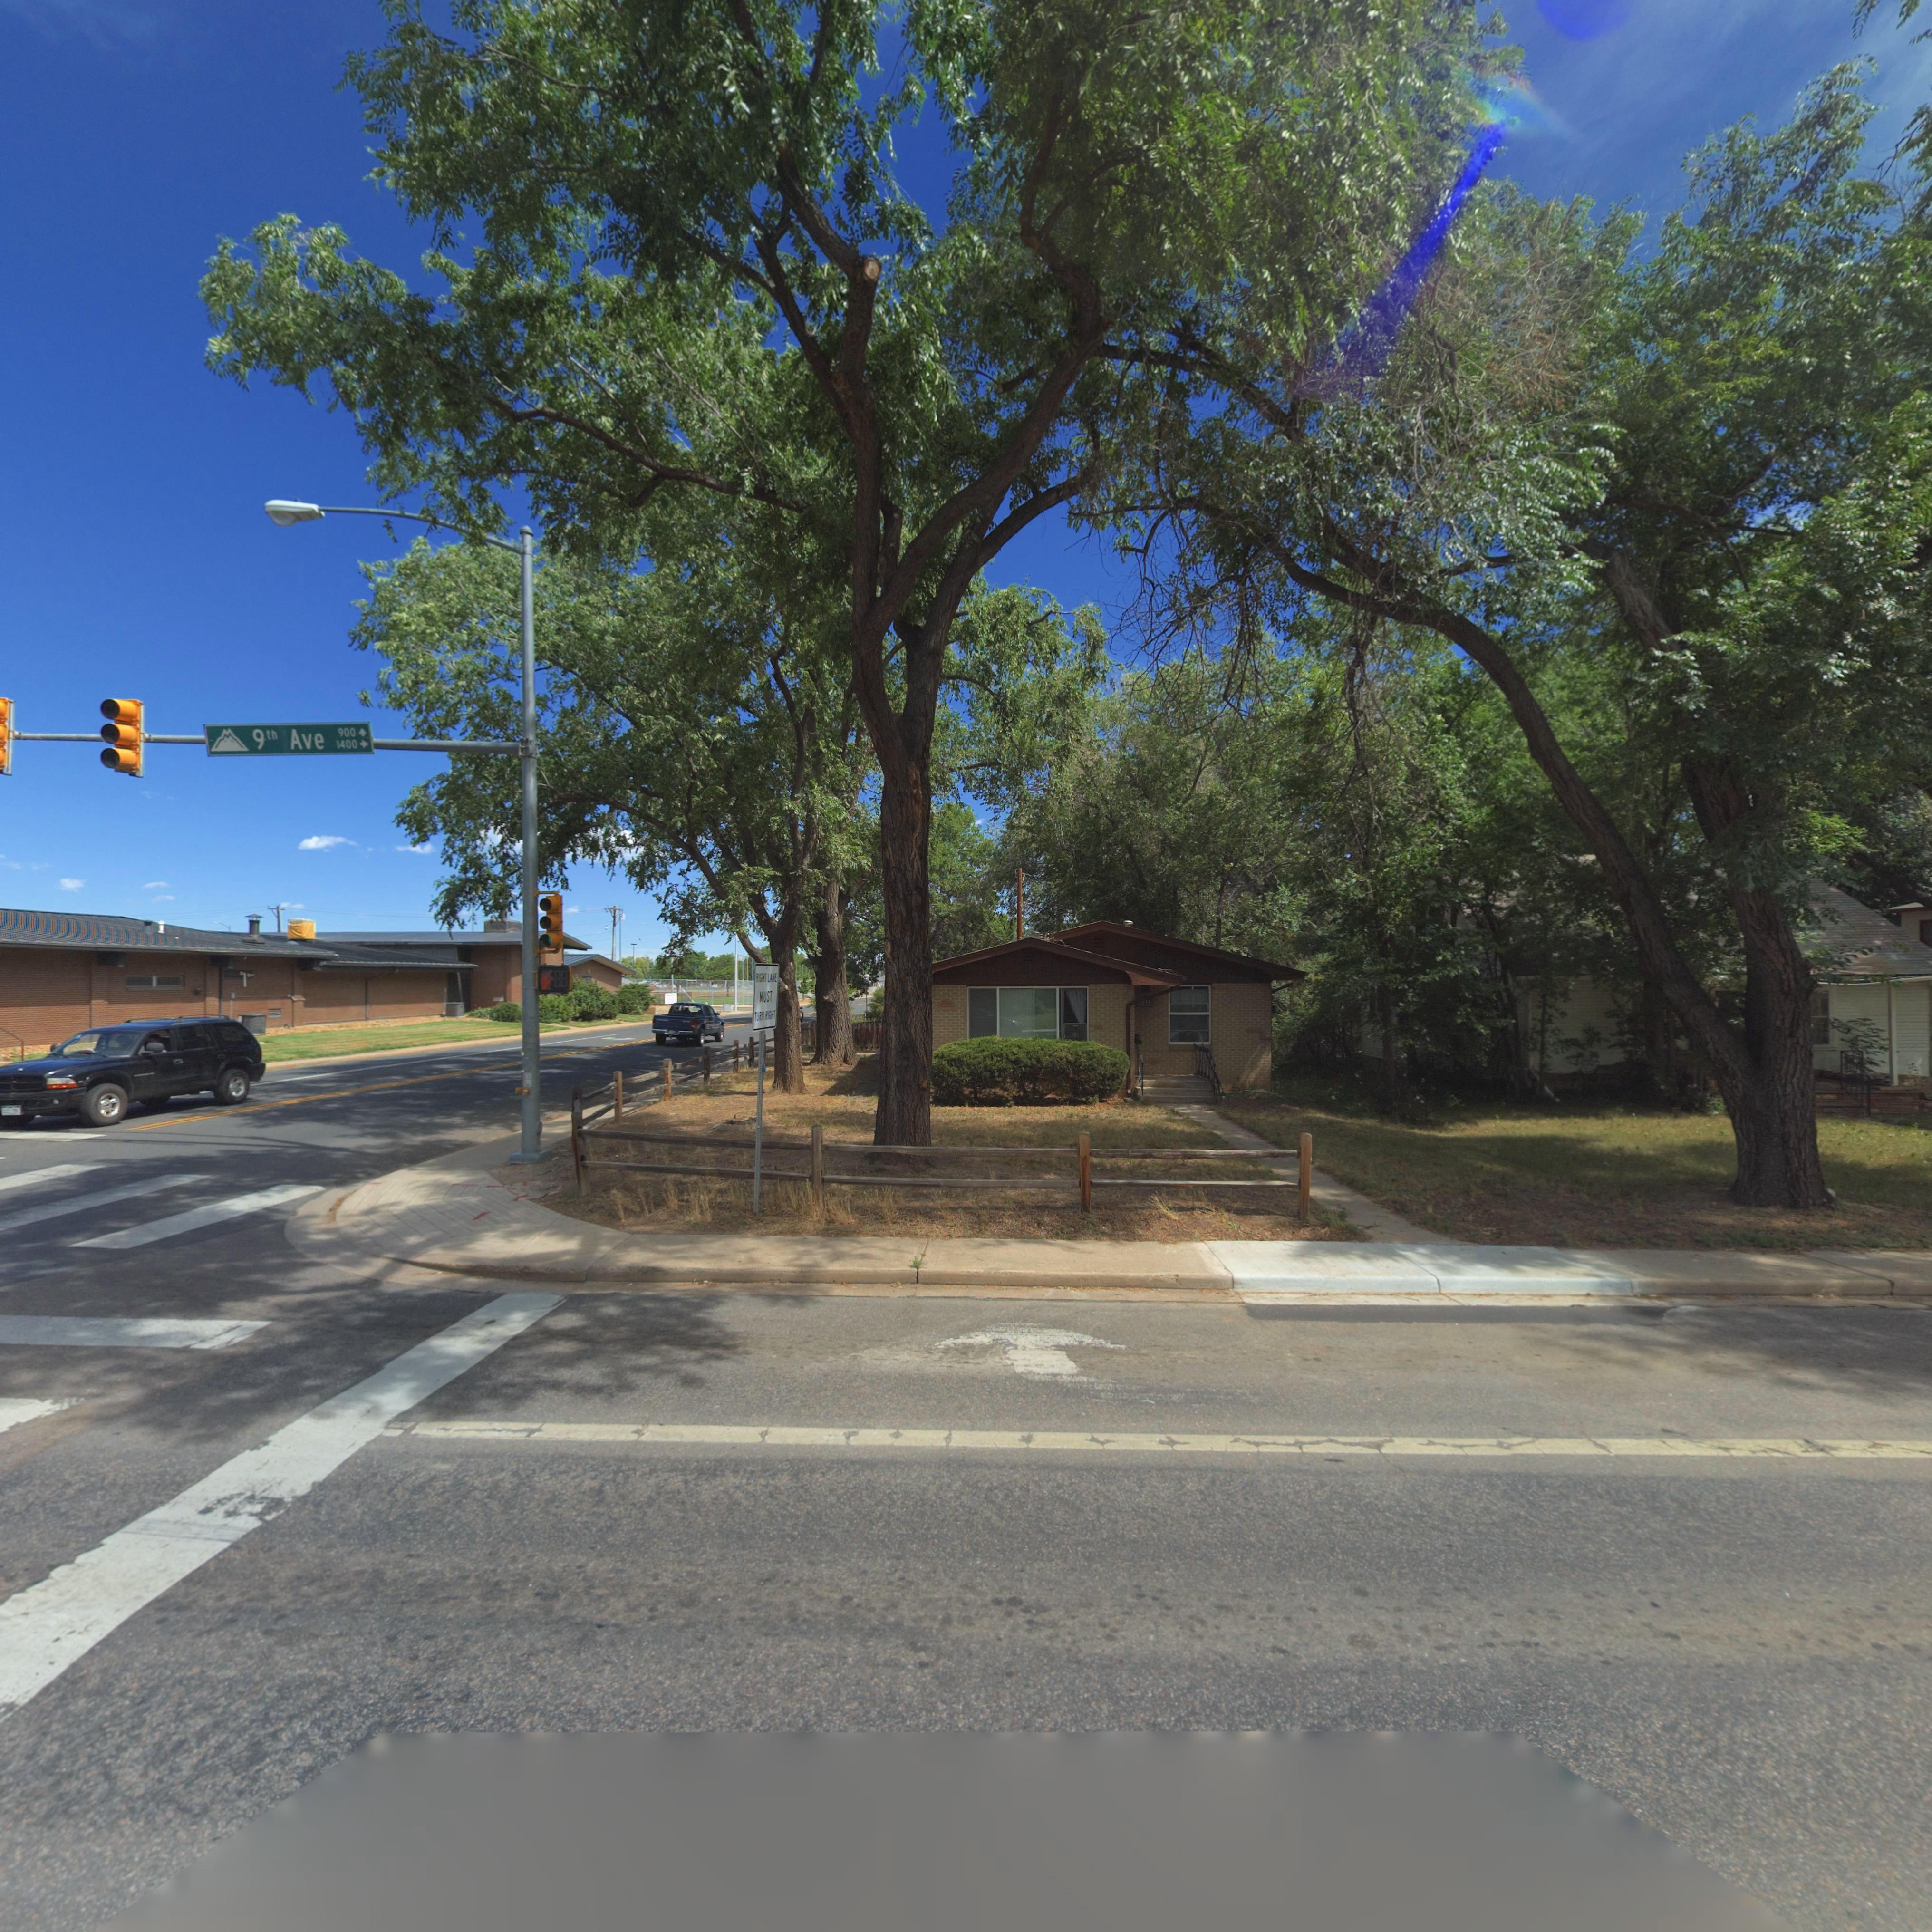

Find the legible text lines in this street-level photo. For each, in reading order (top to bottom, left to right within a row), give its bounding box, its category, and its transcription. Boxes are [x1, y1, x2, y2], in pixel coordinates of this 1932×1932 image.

[338, 727, 357, 737] StreetNumberRange: 900
[251, 728, 325, 750] StreetName: 9th Ave
[336, 739, 369, 749] StreetNumberRange: 1400 ->
[1137, 1000, 1153, 1005] StreetNumber: **449